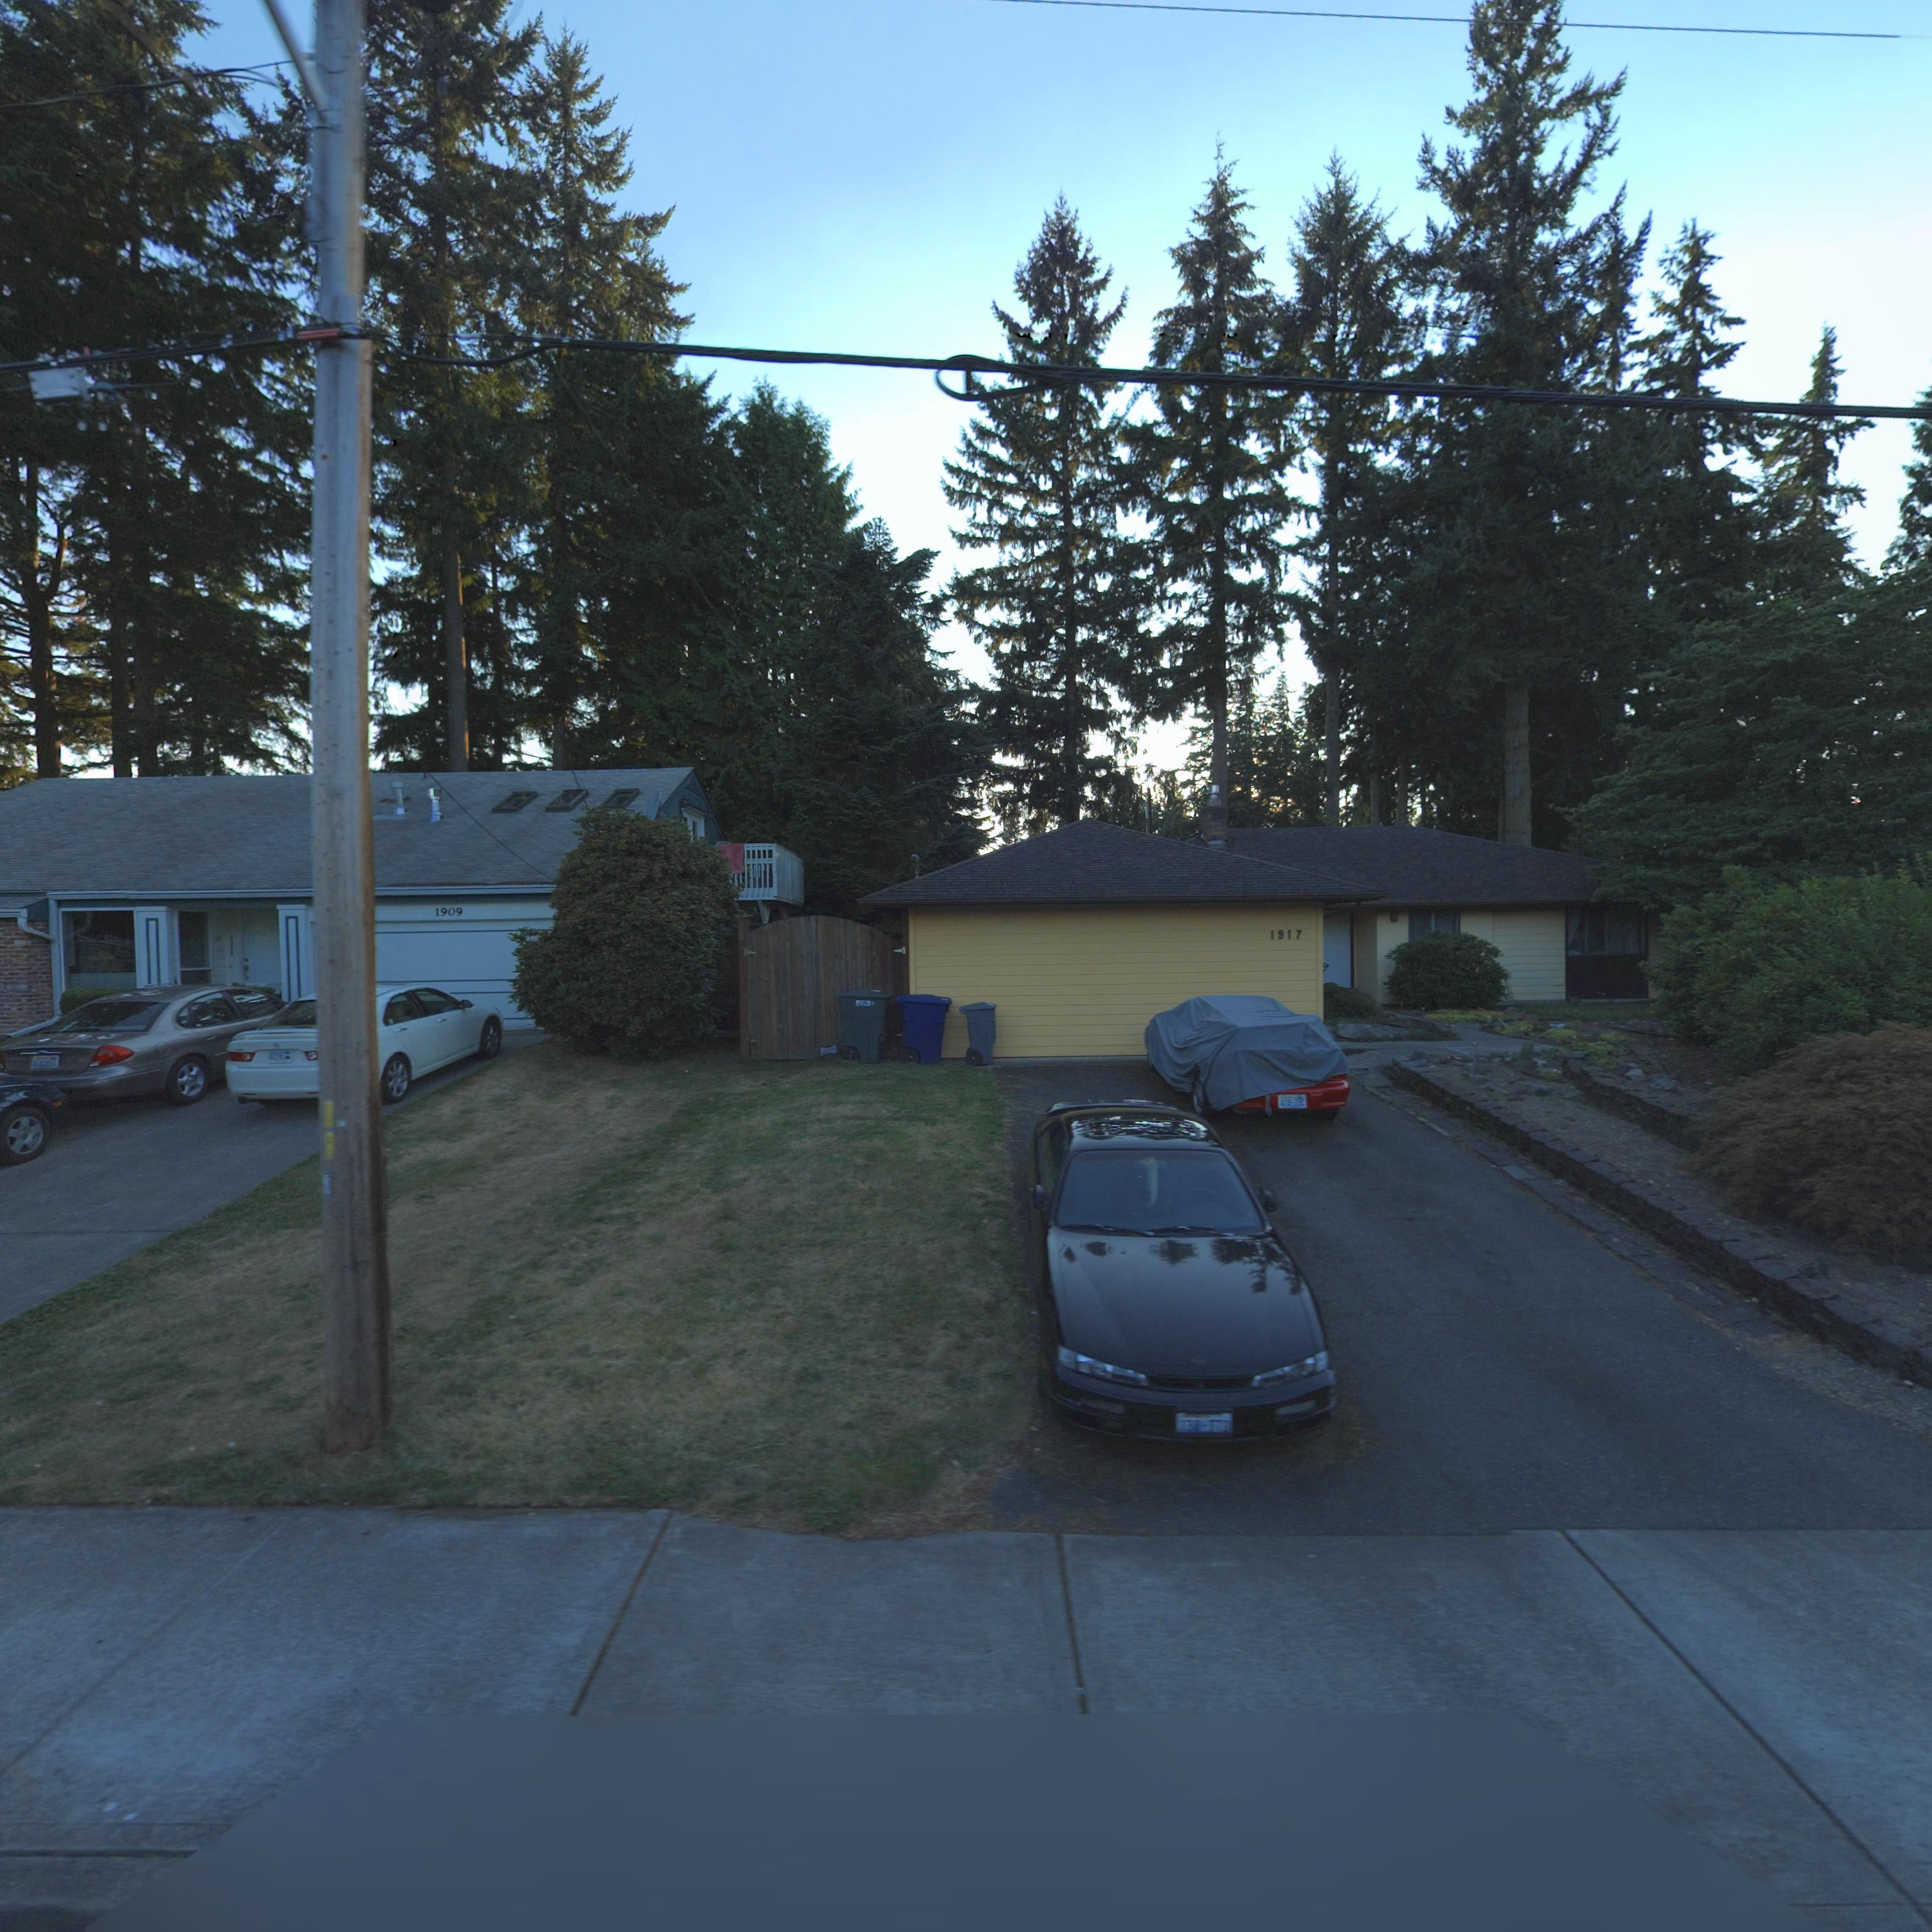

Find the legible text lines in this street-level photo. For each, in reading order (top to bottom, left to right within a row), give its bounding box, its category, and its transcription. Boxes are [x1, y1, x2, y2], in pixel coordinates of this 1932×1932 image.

[434, 906, 463, 917] StreetNumber: 1909
[1270, 928, 1303, 940] StreetNumber: 1917